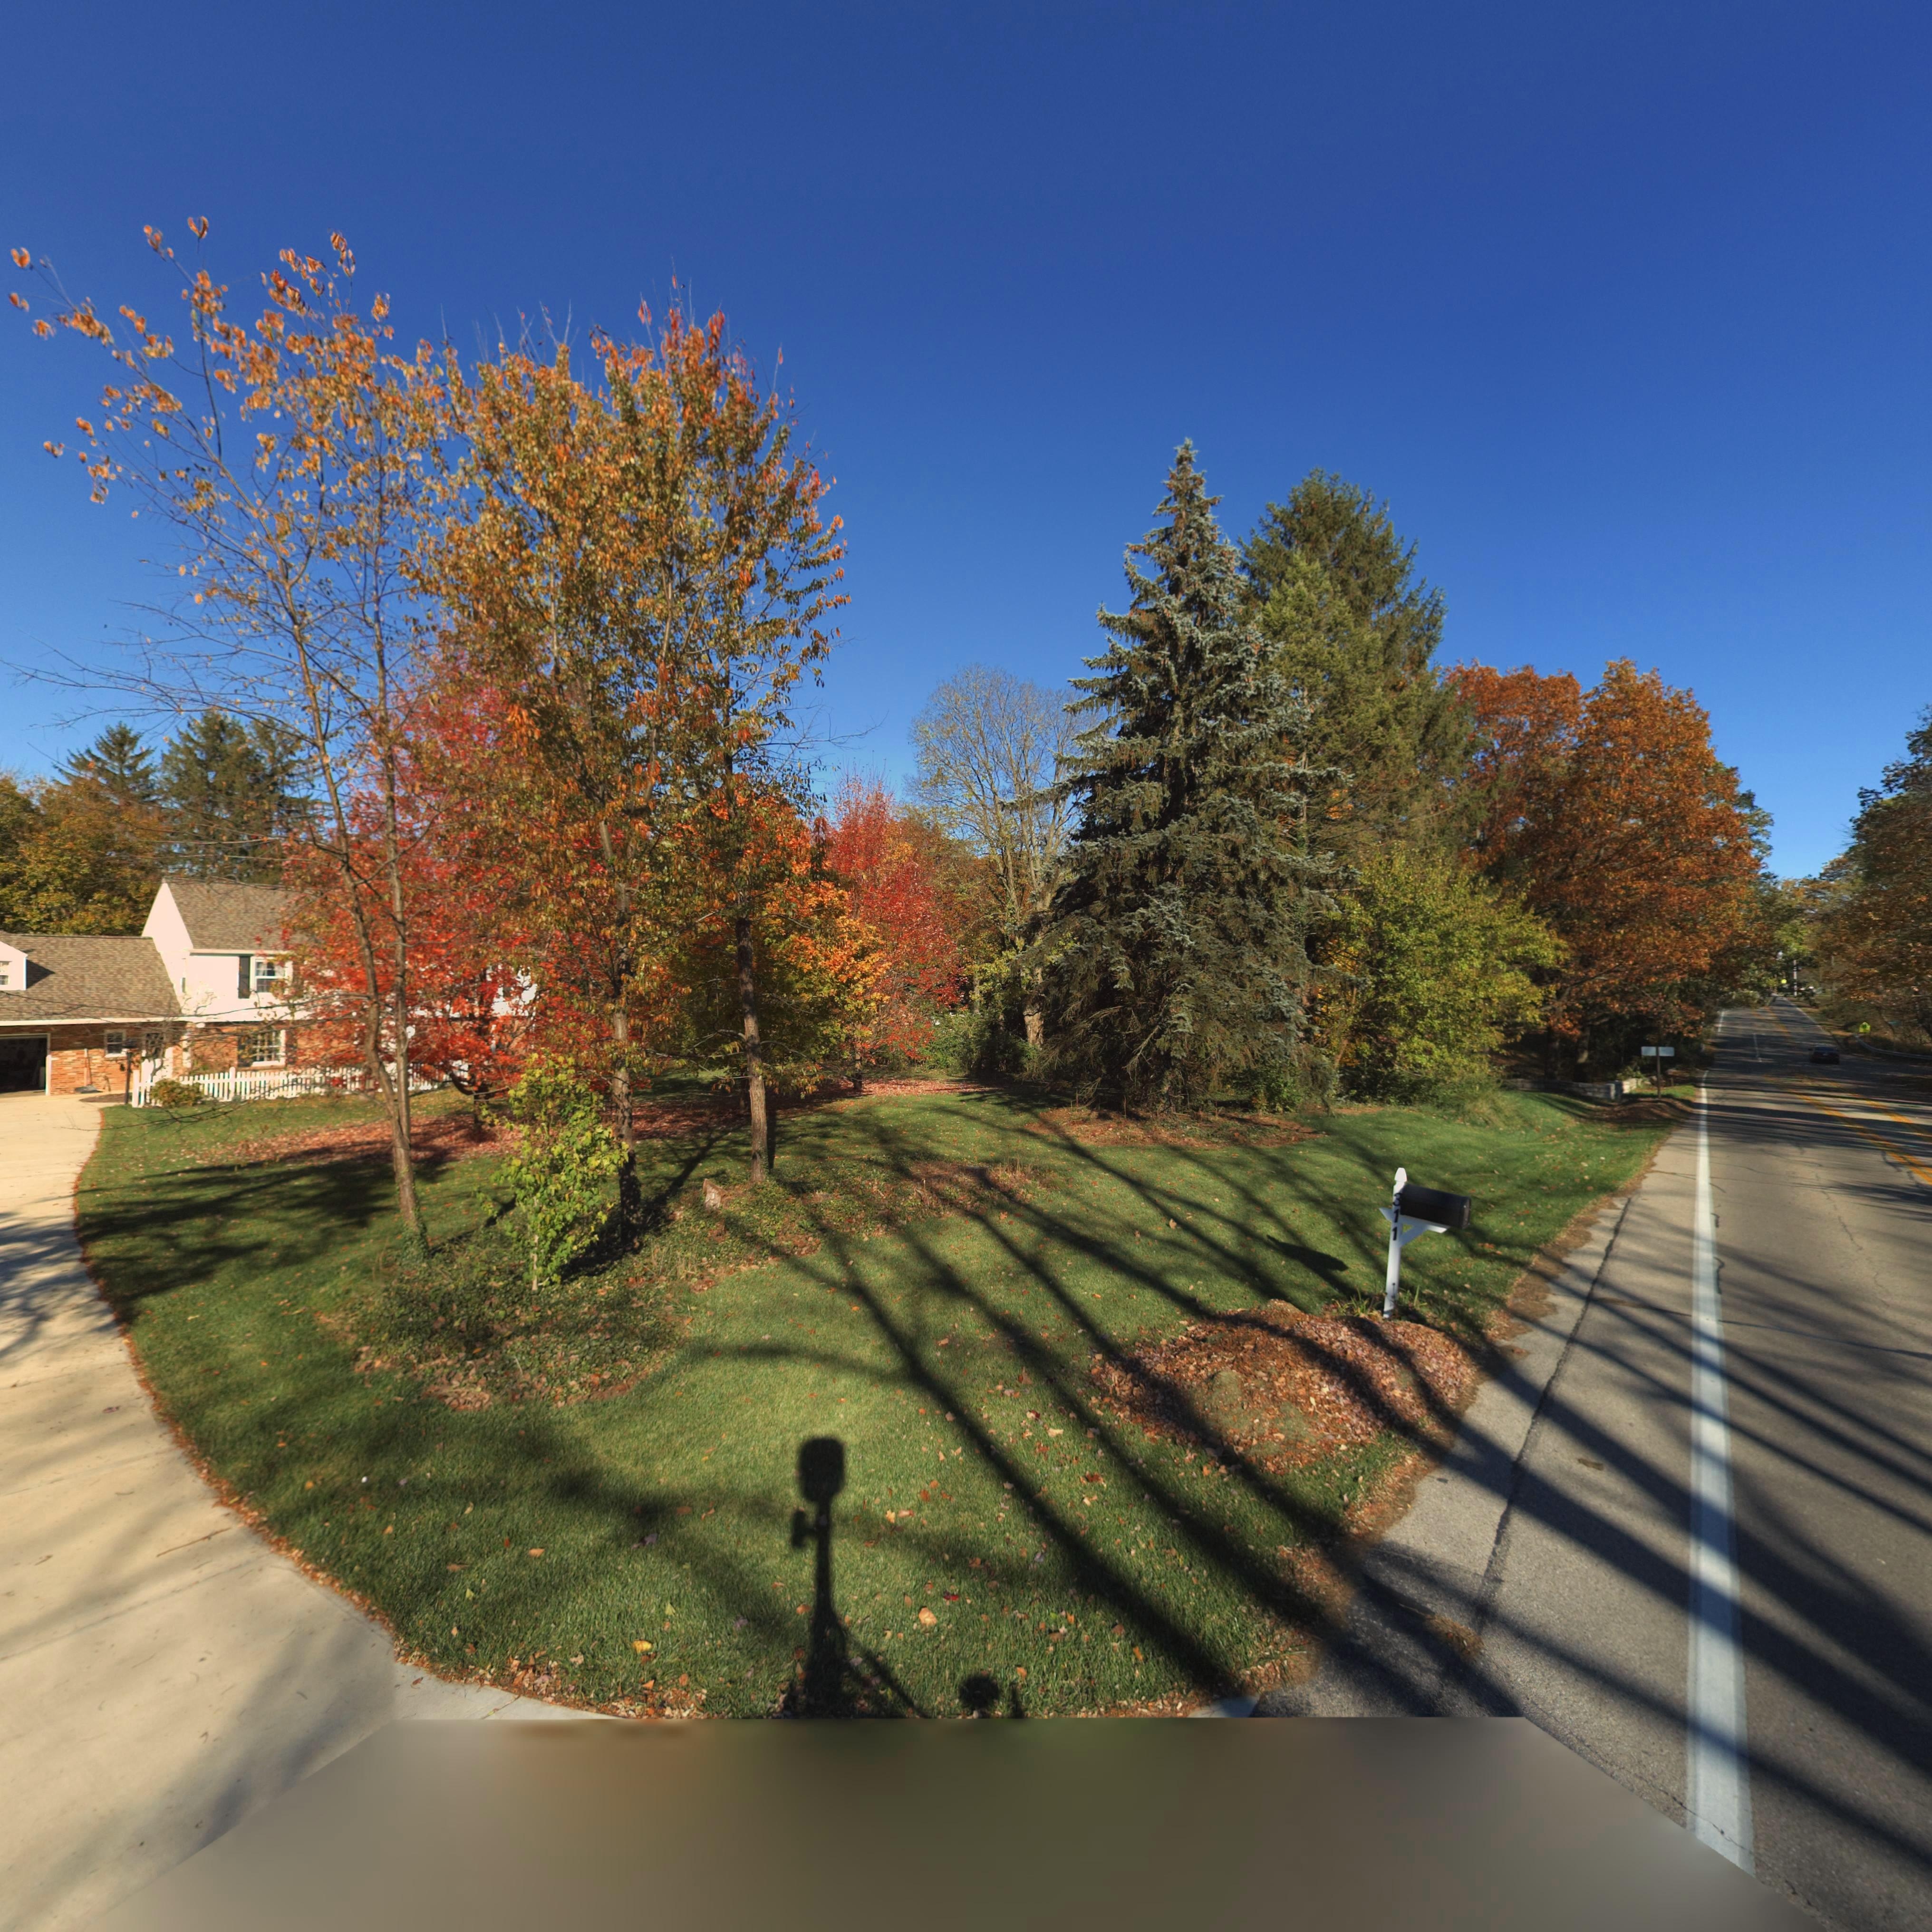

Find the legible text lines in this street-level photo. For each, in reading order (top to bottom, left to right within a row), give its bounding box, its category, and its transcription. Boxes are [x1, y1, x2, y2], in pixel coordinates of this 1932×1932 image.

[1391, 1192, 1403, 1242] StreetNumber: 311